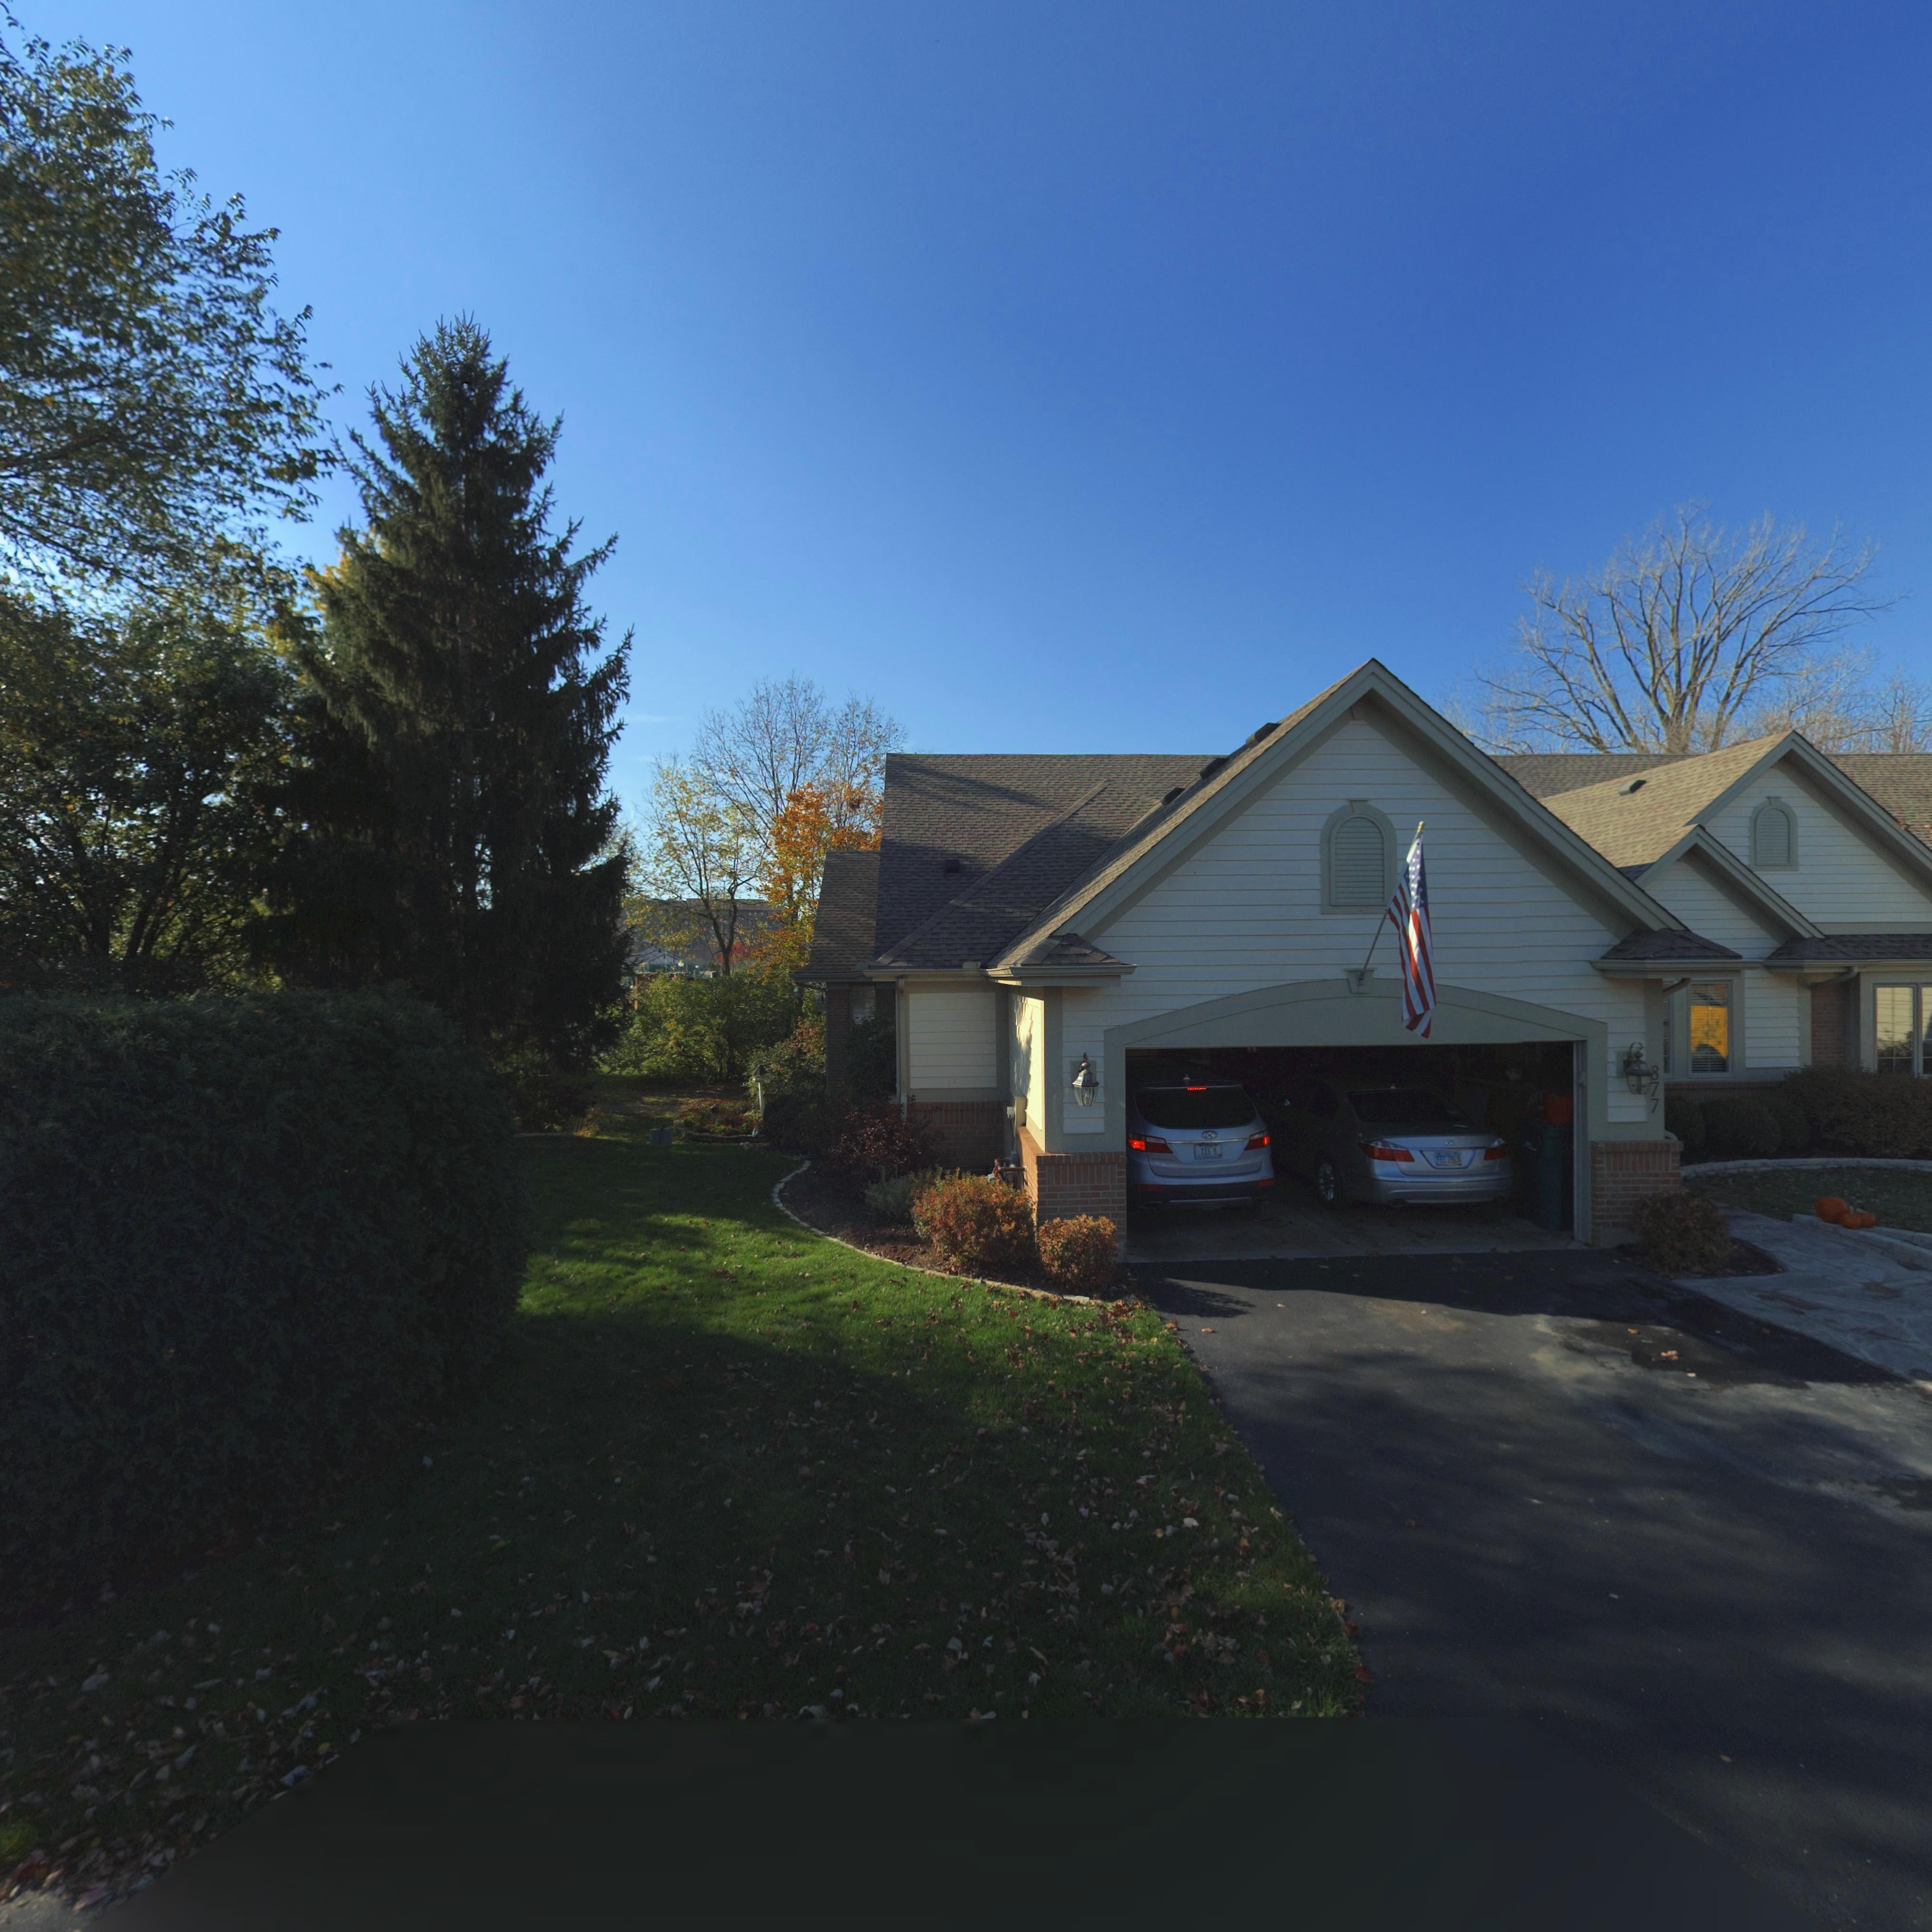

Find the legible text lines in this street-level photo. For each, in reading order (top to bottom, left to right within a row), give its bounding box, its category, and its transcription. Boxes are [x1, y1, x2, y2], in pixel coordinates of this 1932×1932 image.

[1648, 1064, 1662, 1114] StreetNumber: 877